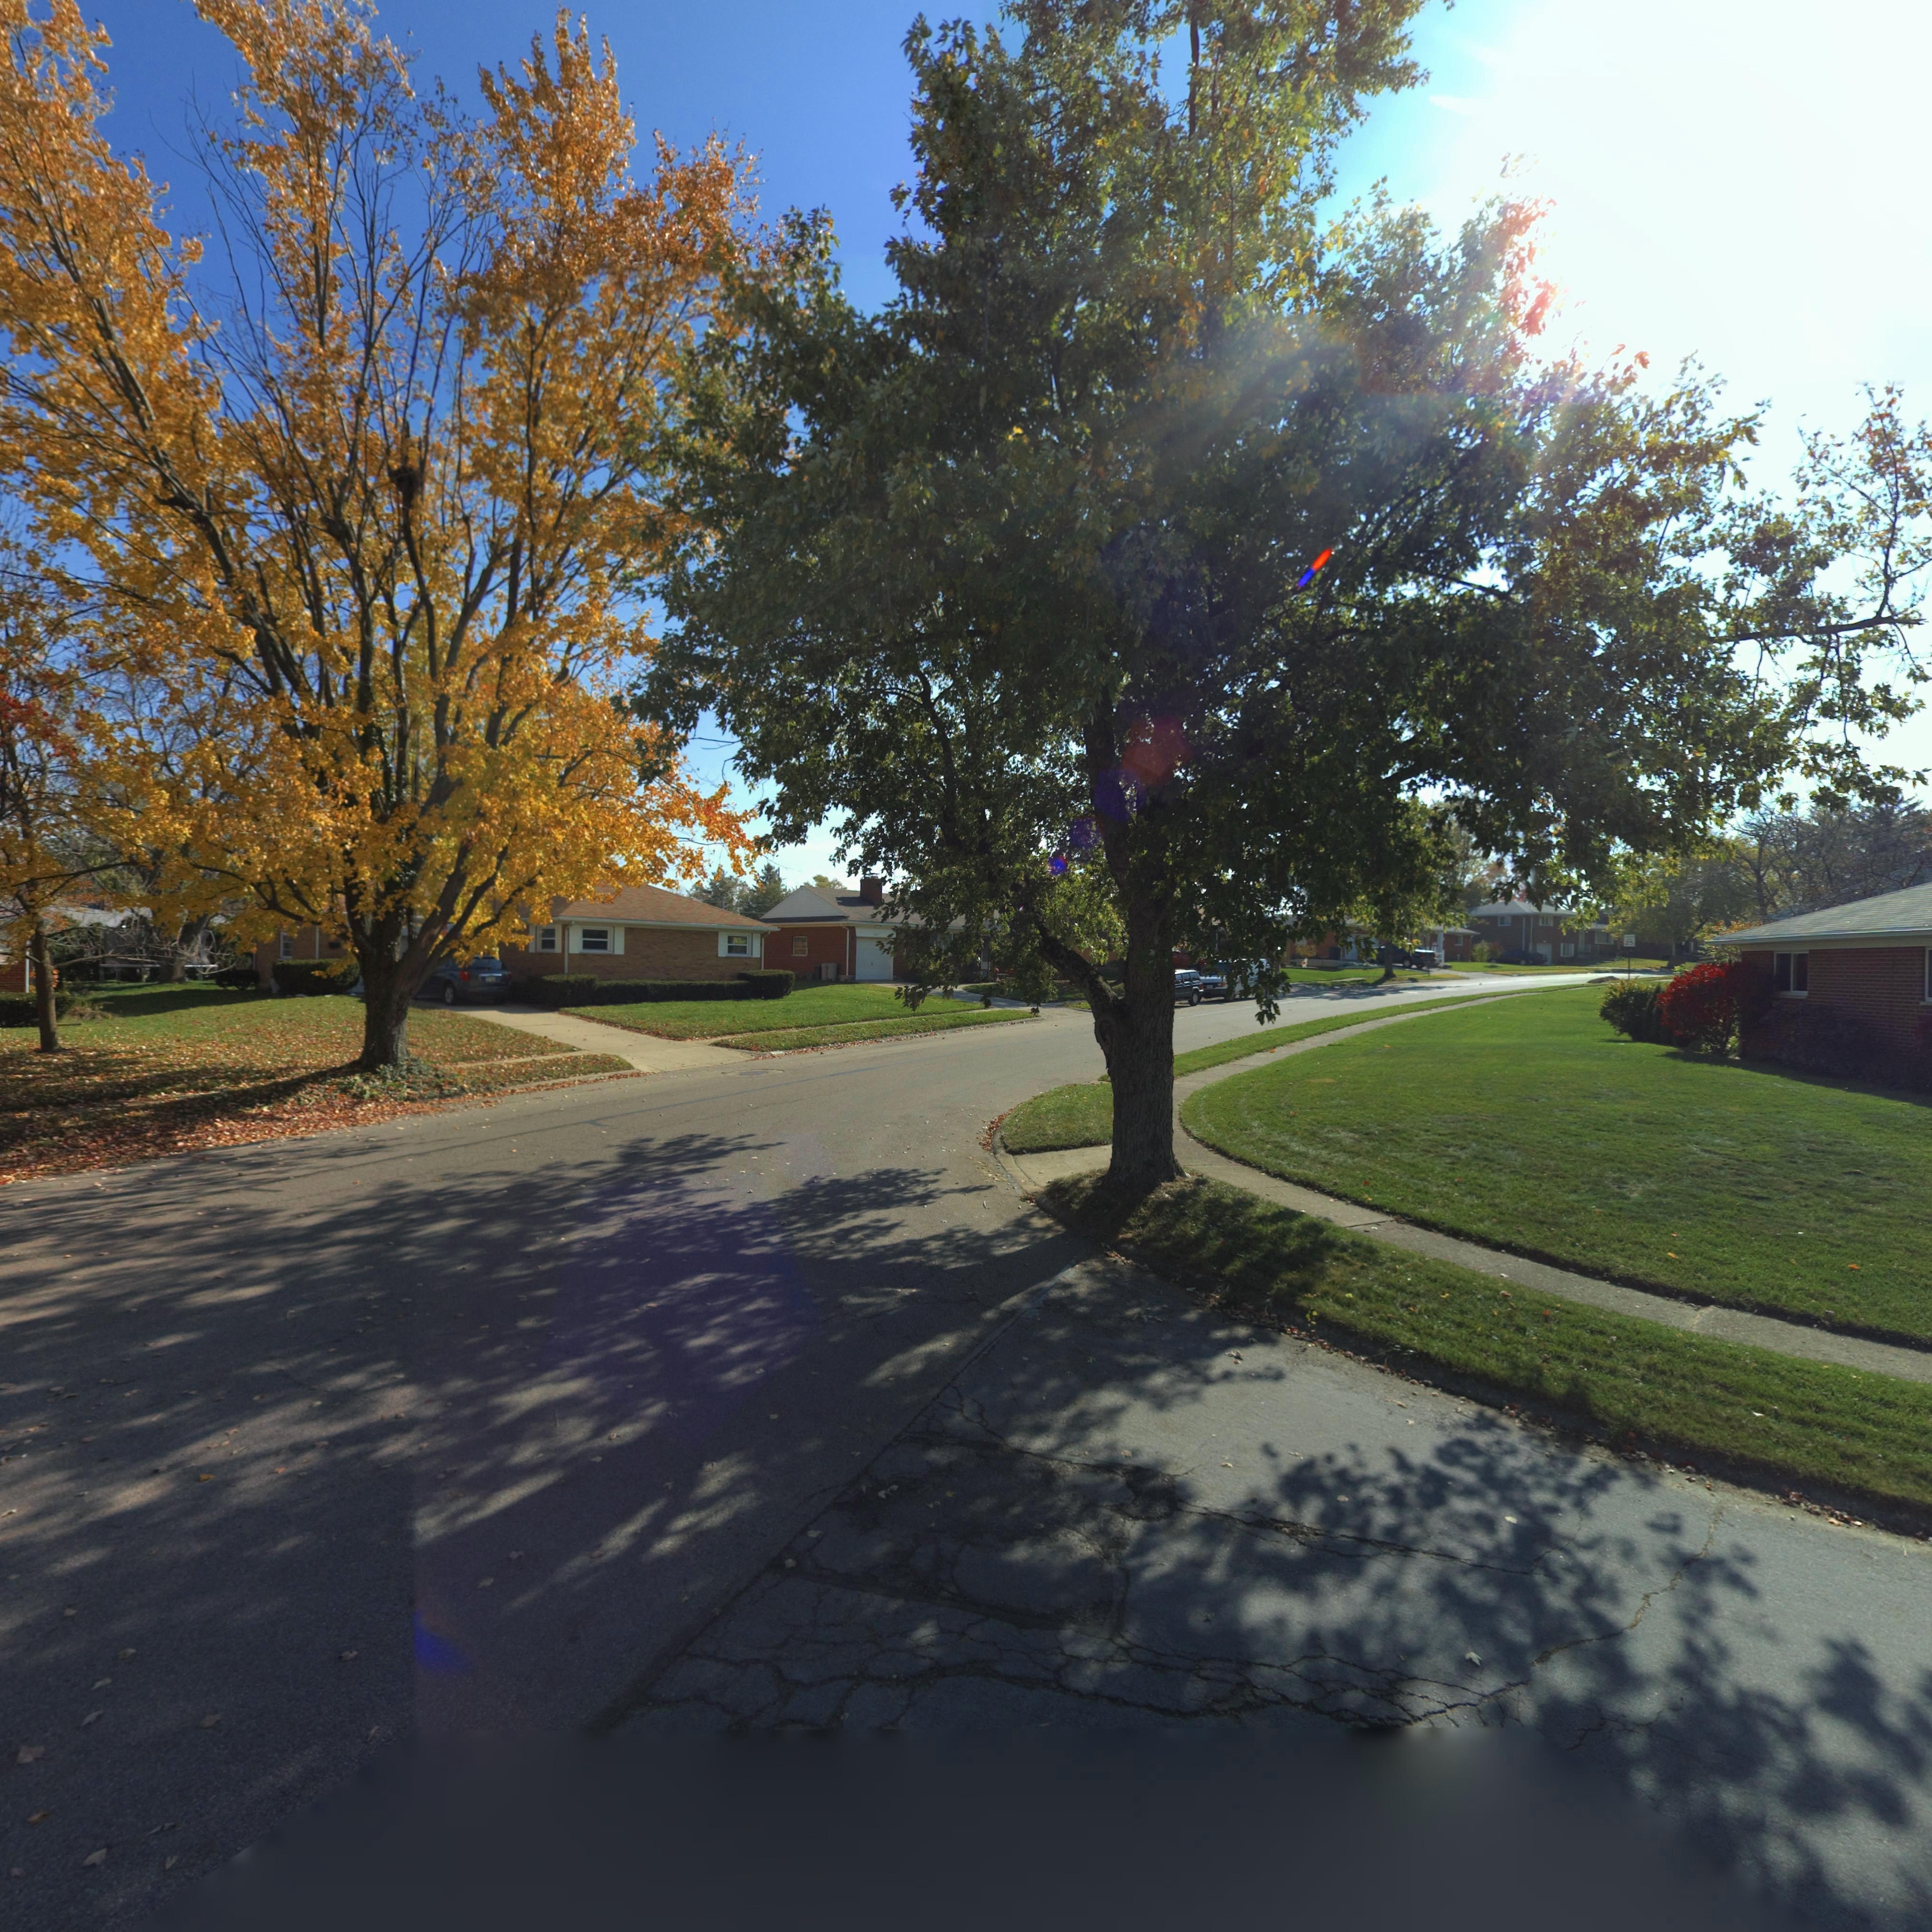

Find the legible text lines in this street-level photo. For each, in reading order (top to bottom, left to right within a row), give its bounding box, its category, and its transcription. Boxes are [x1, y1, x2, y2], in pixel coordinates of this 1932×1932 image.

[1623, 939, 1635, 947] StreetNumber: 25